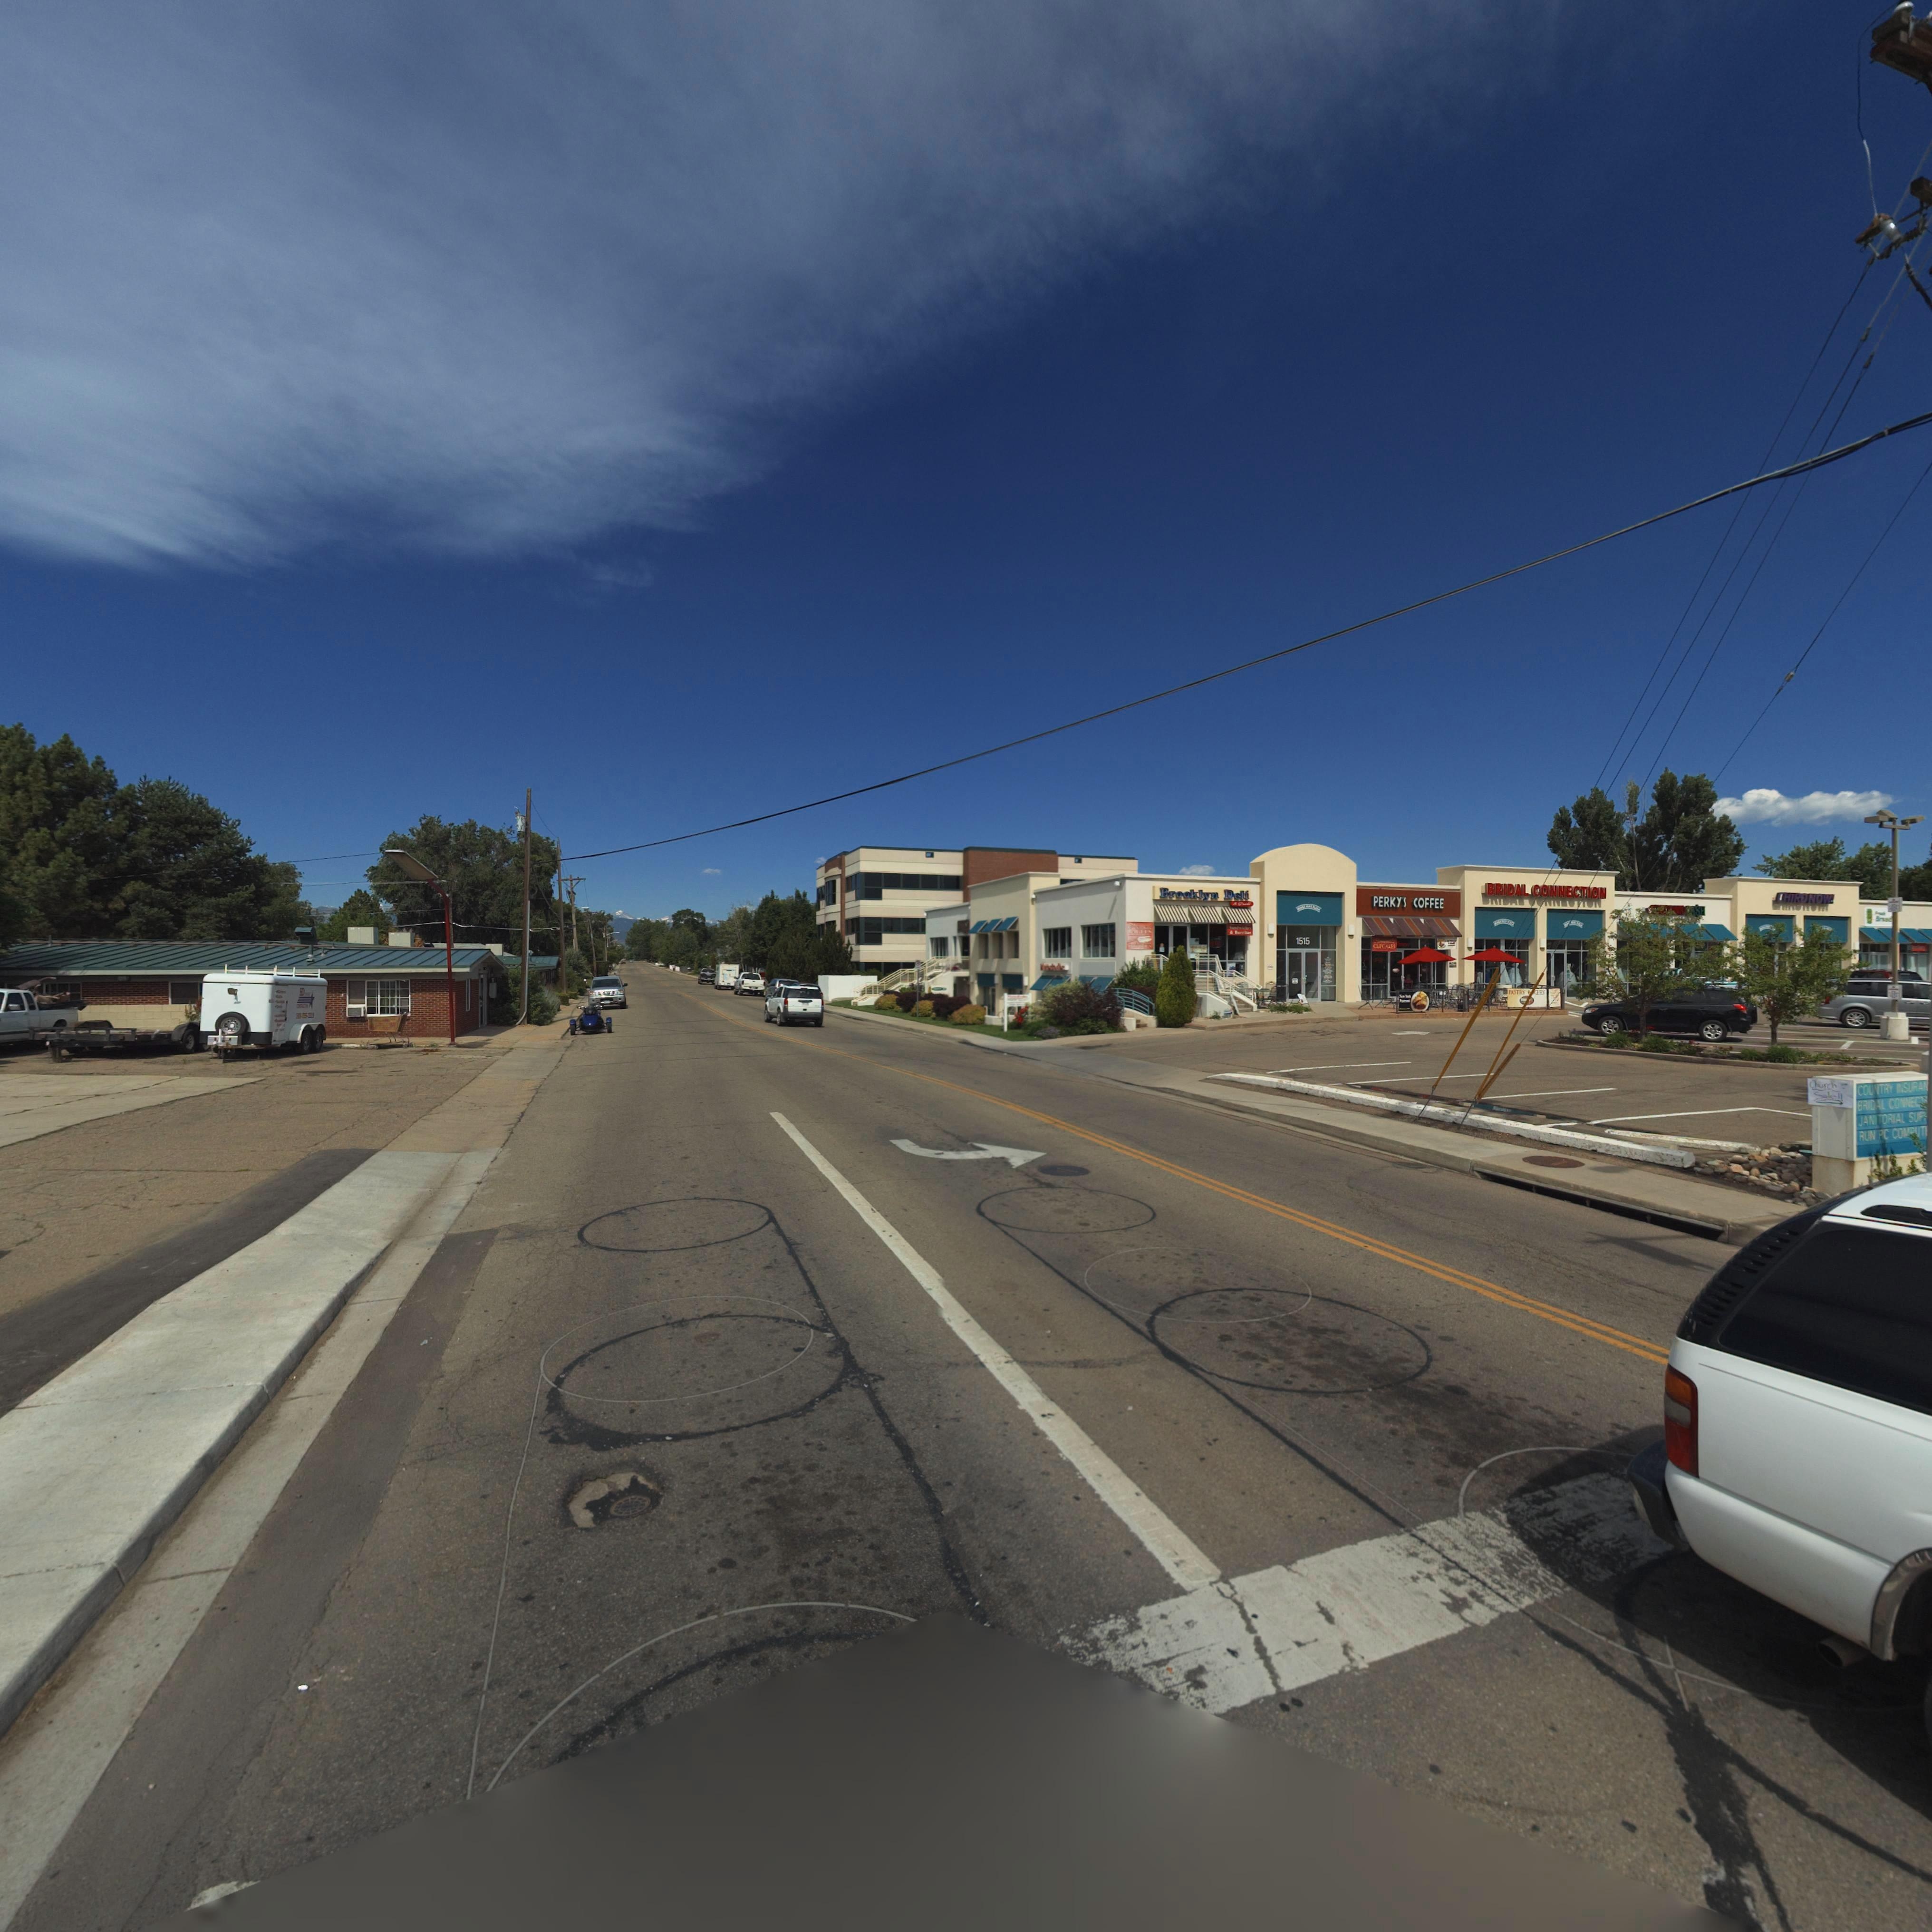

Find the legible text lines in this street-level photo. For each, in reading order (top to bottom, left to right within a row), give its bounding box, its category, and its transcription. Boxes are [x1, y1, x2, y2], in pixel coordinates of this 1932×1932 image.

[1159, 887, 1249, 901] BusinessName: Brooklyn Deli
[1231, 901, 1252, 906] BusinessName: & Grill
[1372, 895, 1445, 909] BusinessName: PERKY'S COFFEE
[1486, 882, 1606, 899] BusinessName: BRIDAL CONNECTION
[1672, 903, 1706, 918] BusinessName: NH*A*H
[1774, 891, 1835, 904] BusinessName: CHIRONOW!
[1295, 937, 1310, 945] StreetNumber: 1515
[1857, 1081, 1929, 1097] BusinessName: COUNTRY INSURAN
[1857, 1095, 1924, 1112] BusinessName: BRIDAL CONNEC
[1857, 1111, 1923, 1127] BusinessName: JANITORIAL SUP
[1859, 1125, 1924, 1141] BusinessName: RUN PC COMPUT